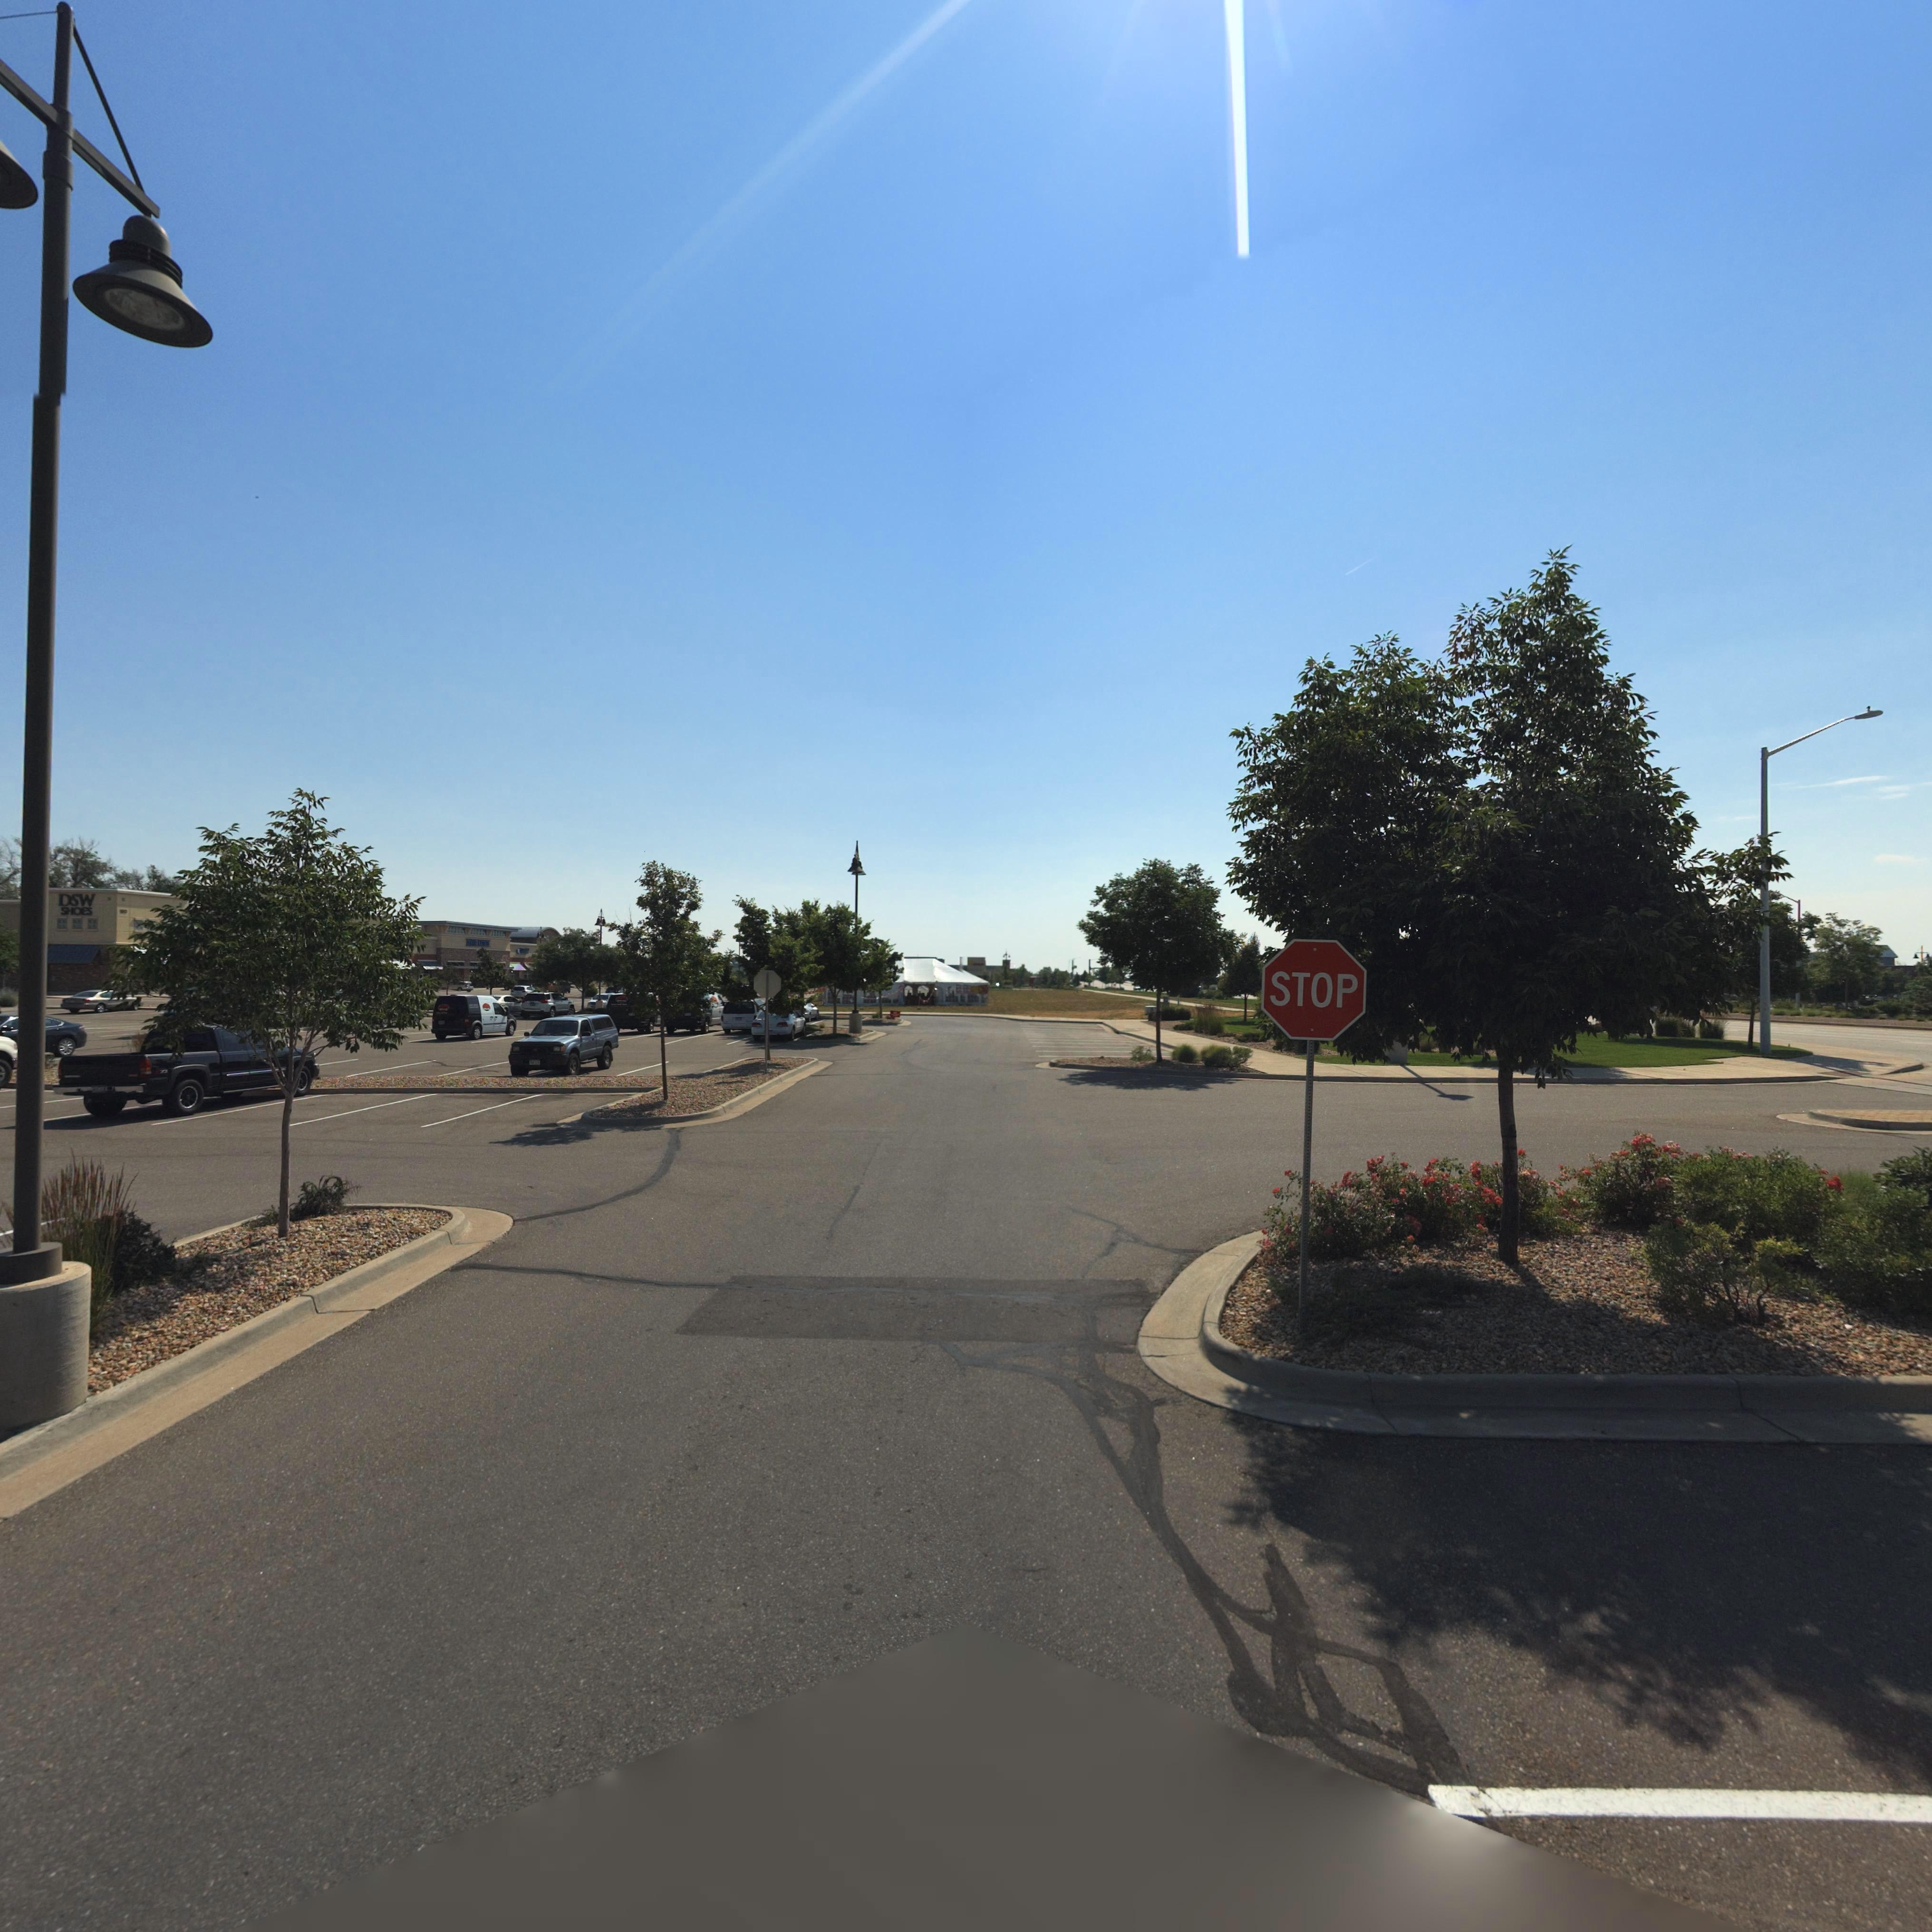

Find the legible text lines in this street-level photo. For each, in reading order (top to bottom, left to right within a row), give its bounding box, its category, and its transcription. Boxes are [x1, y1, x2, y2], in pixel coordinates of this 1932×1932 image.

[58, 893, 96, 906] BusinessName: DSW
[60, 907, 92, 915] BusinessName: SHOES